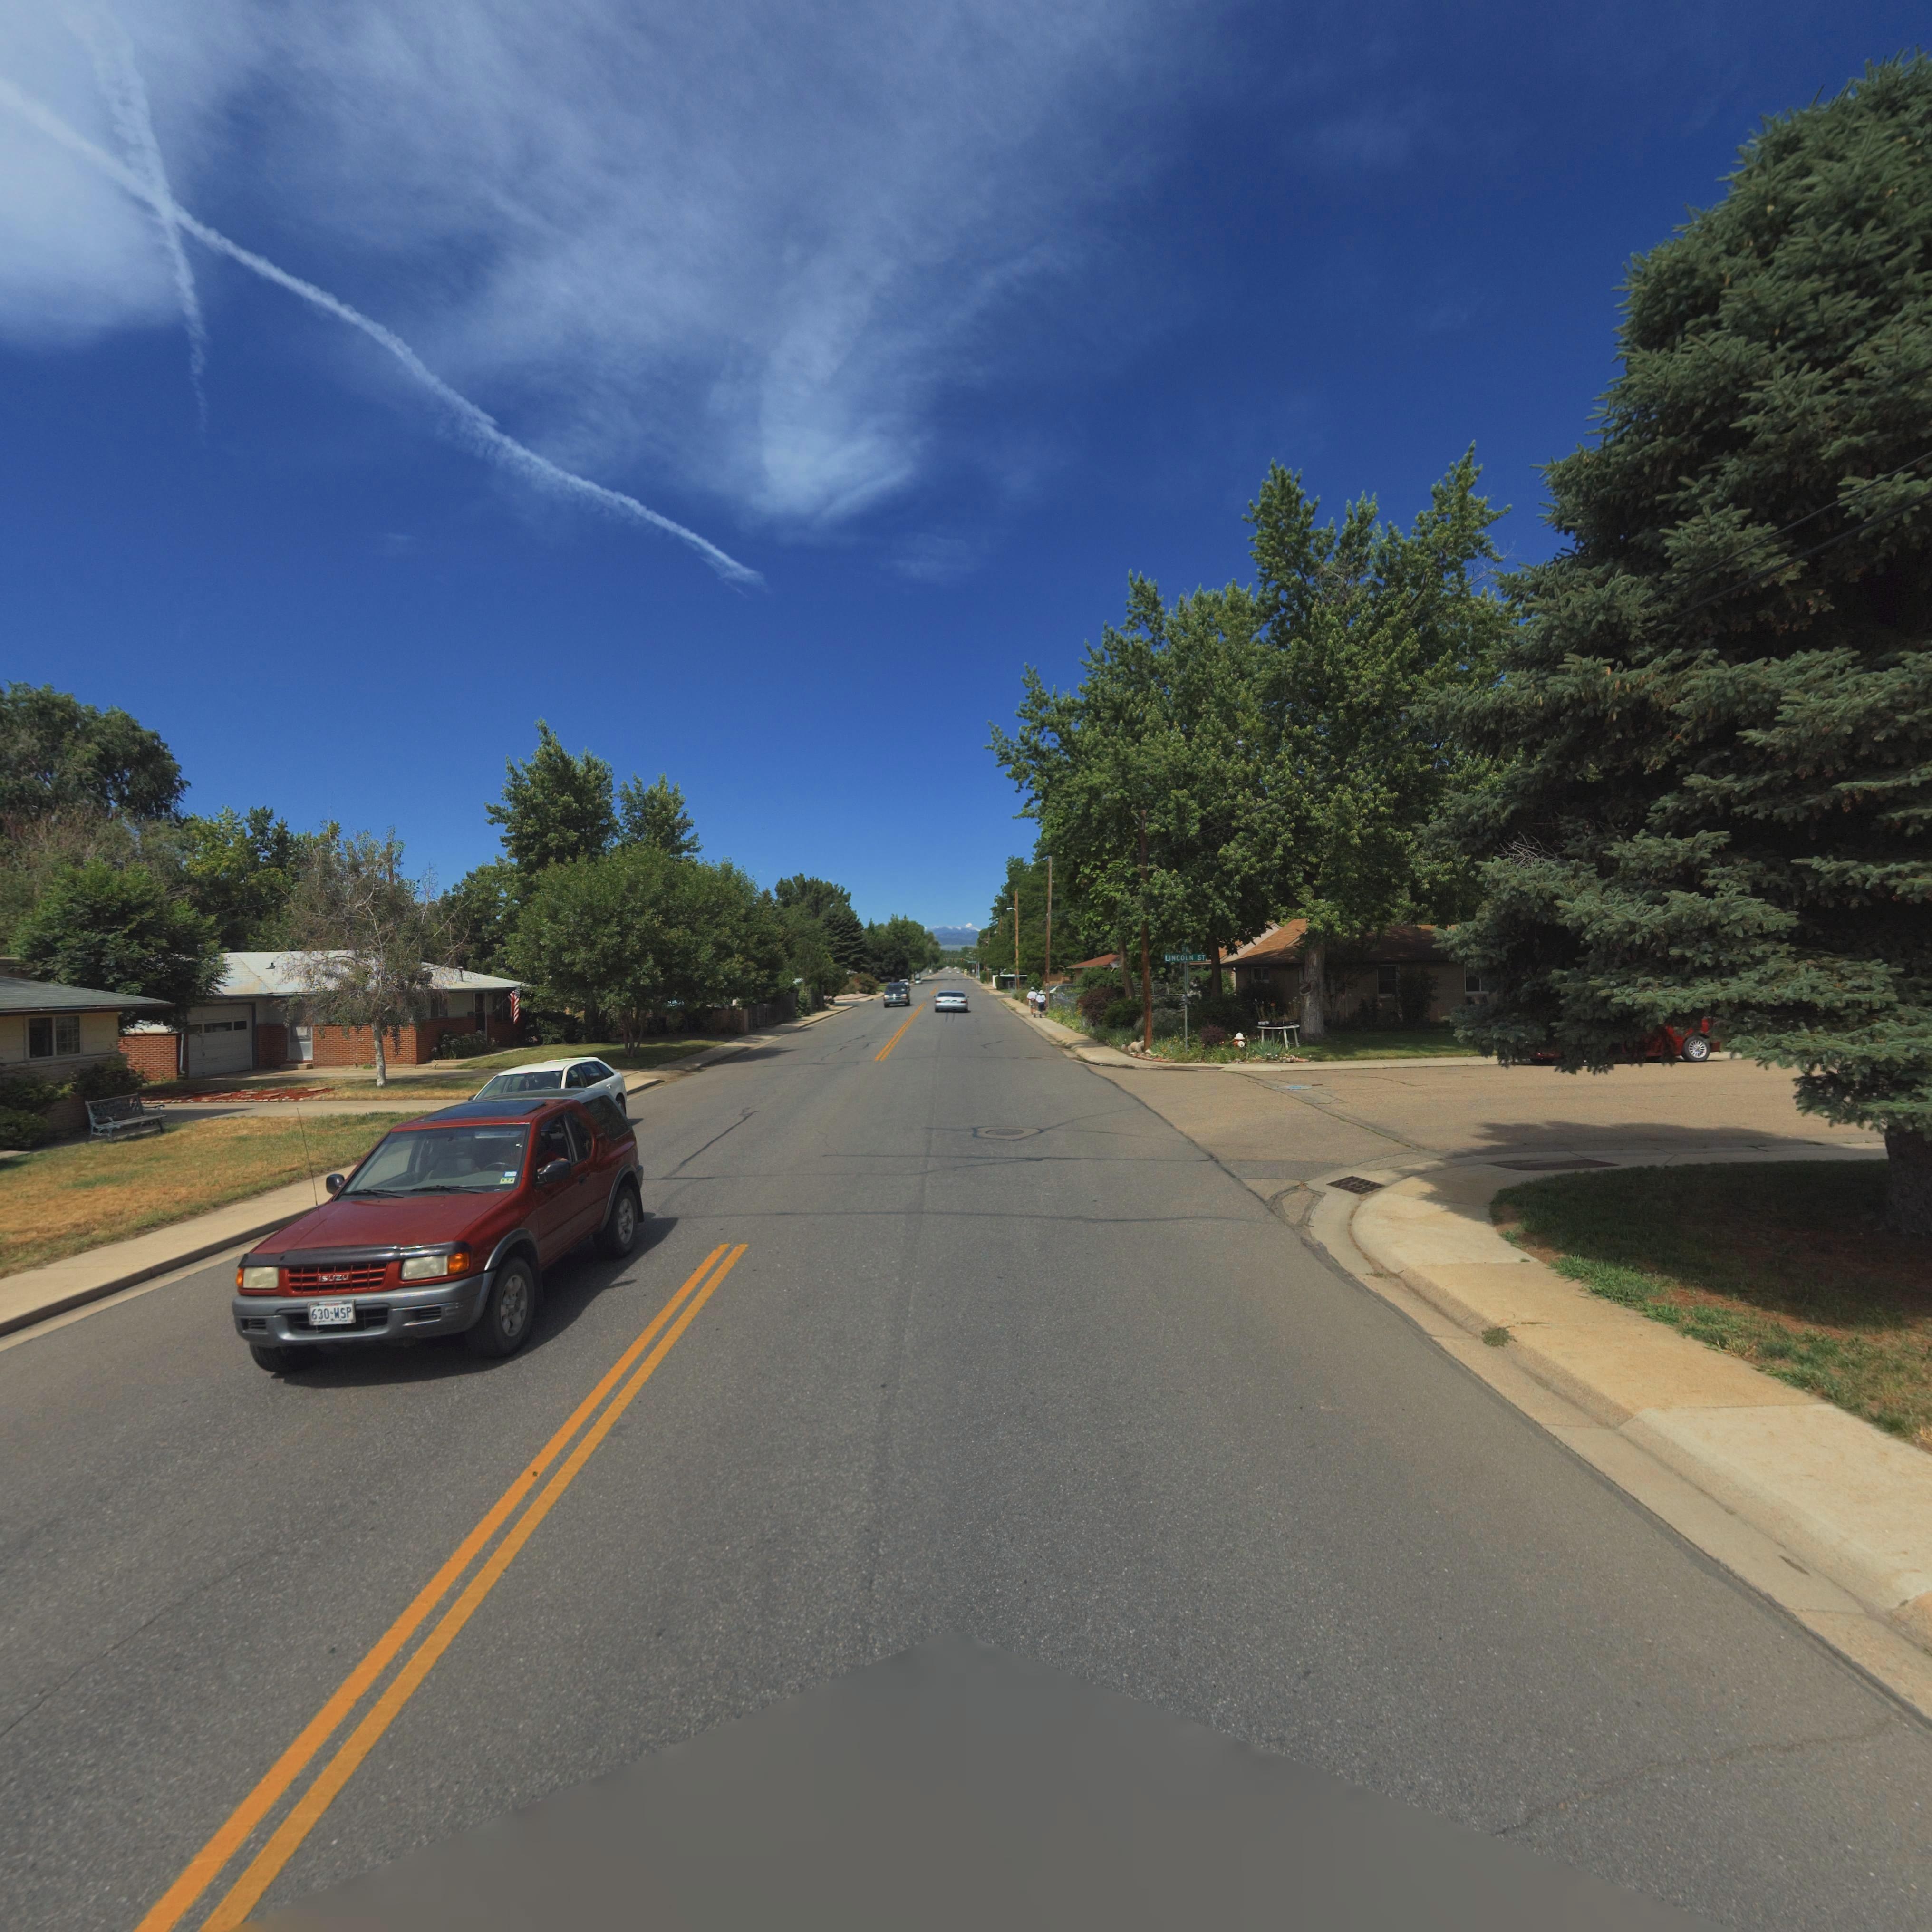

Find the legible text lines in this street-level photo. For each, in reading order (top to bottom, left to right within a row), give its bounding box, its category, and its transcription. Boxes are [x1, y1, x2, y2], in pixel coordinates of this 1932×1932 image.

[1181, 946, 1188, 953] StreetName: **TH **
[1165, 954, 1205, 961] StreetName: LINCOLN ST